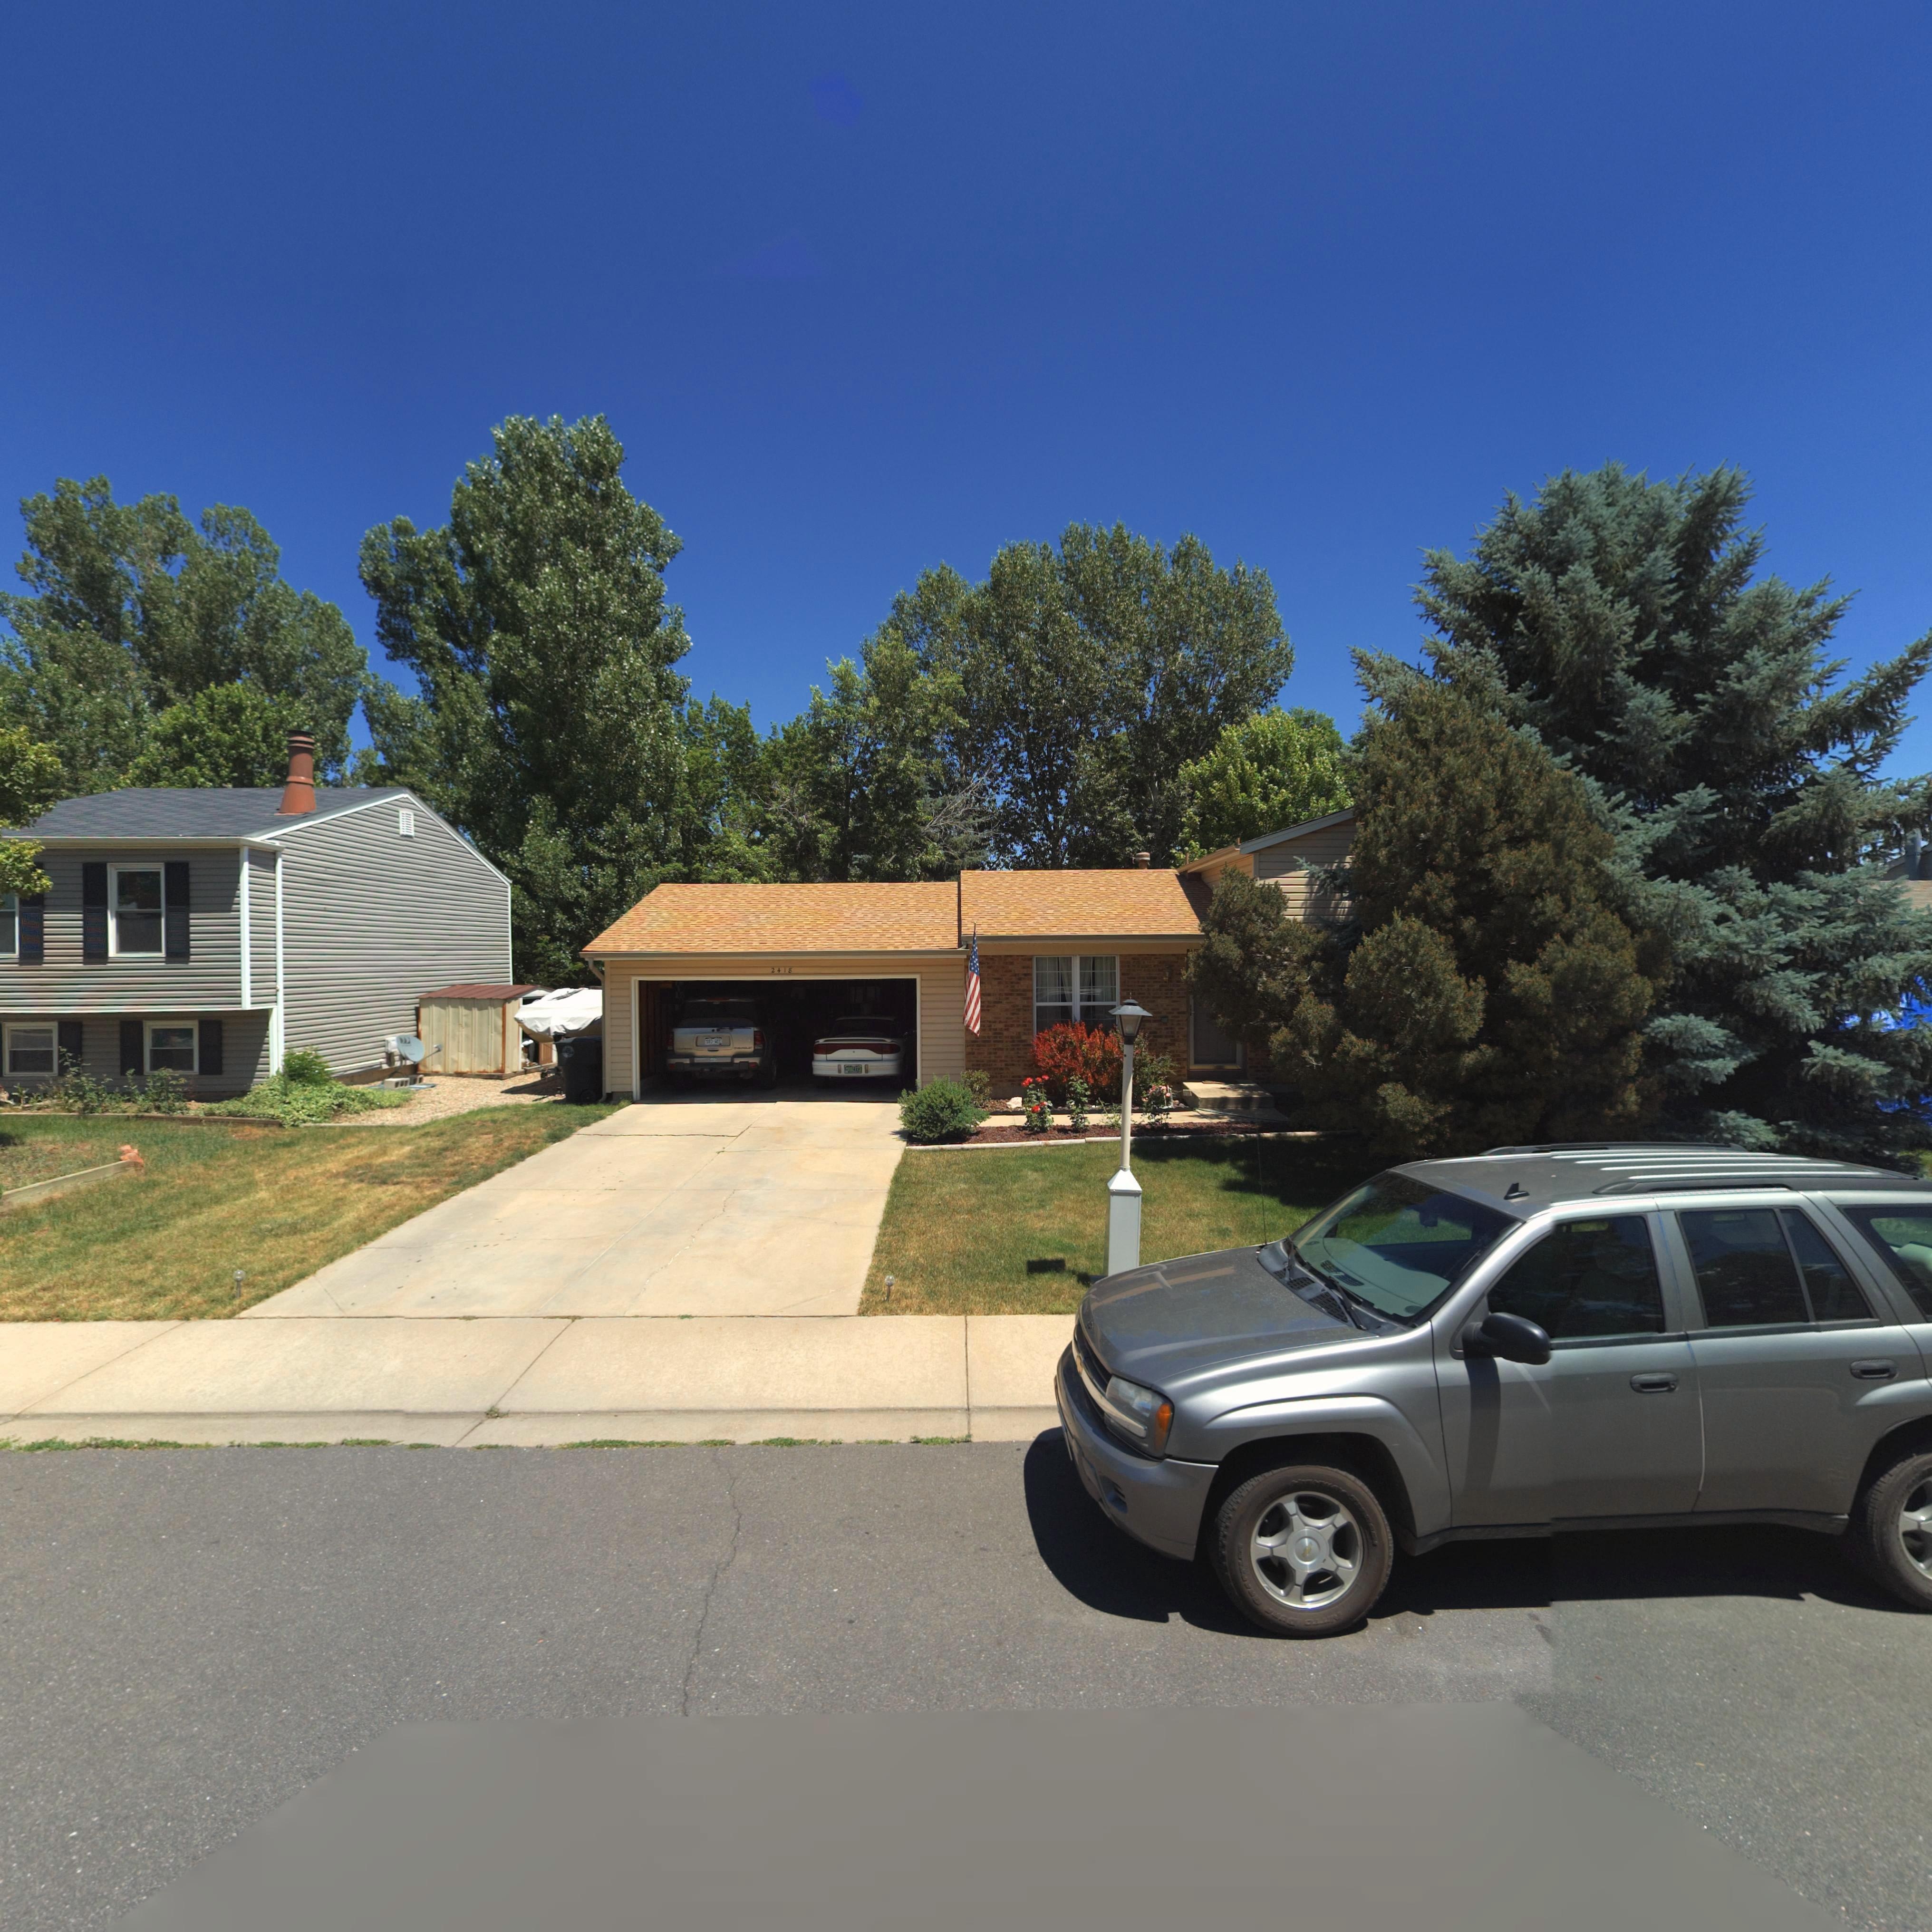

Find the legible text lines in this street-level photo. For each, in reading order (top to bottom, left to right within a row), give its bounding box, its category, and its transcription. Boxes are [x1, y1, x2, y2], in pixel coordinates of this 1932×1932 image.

[771, 967, 792, 973] StreetNumber: 2418